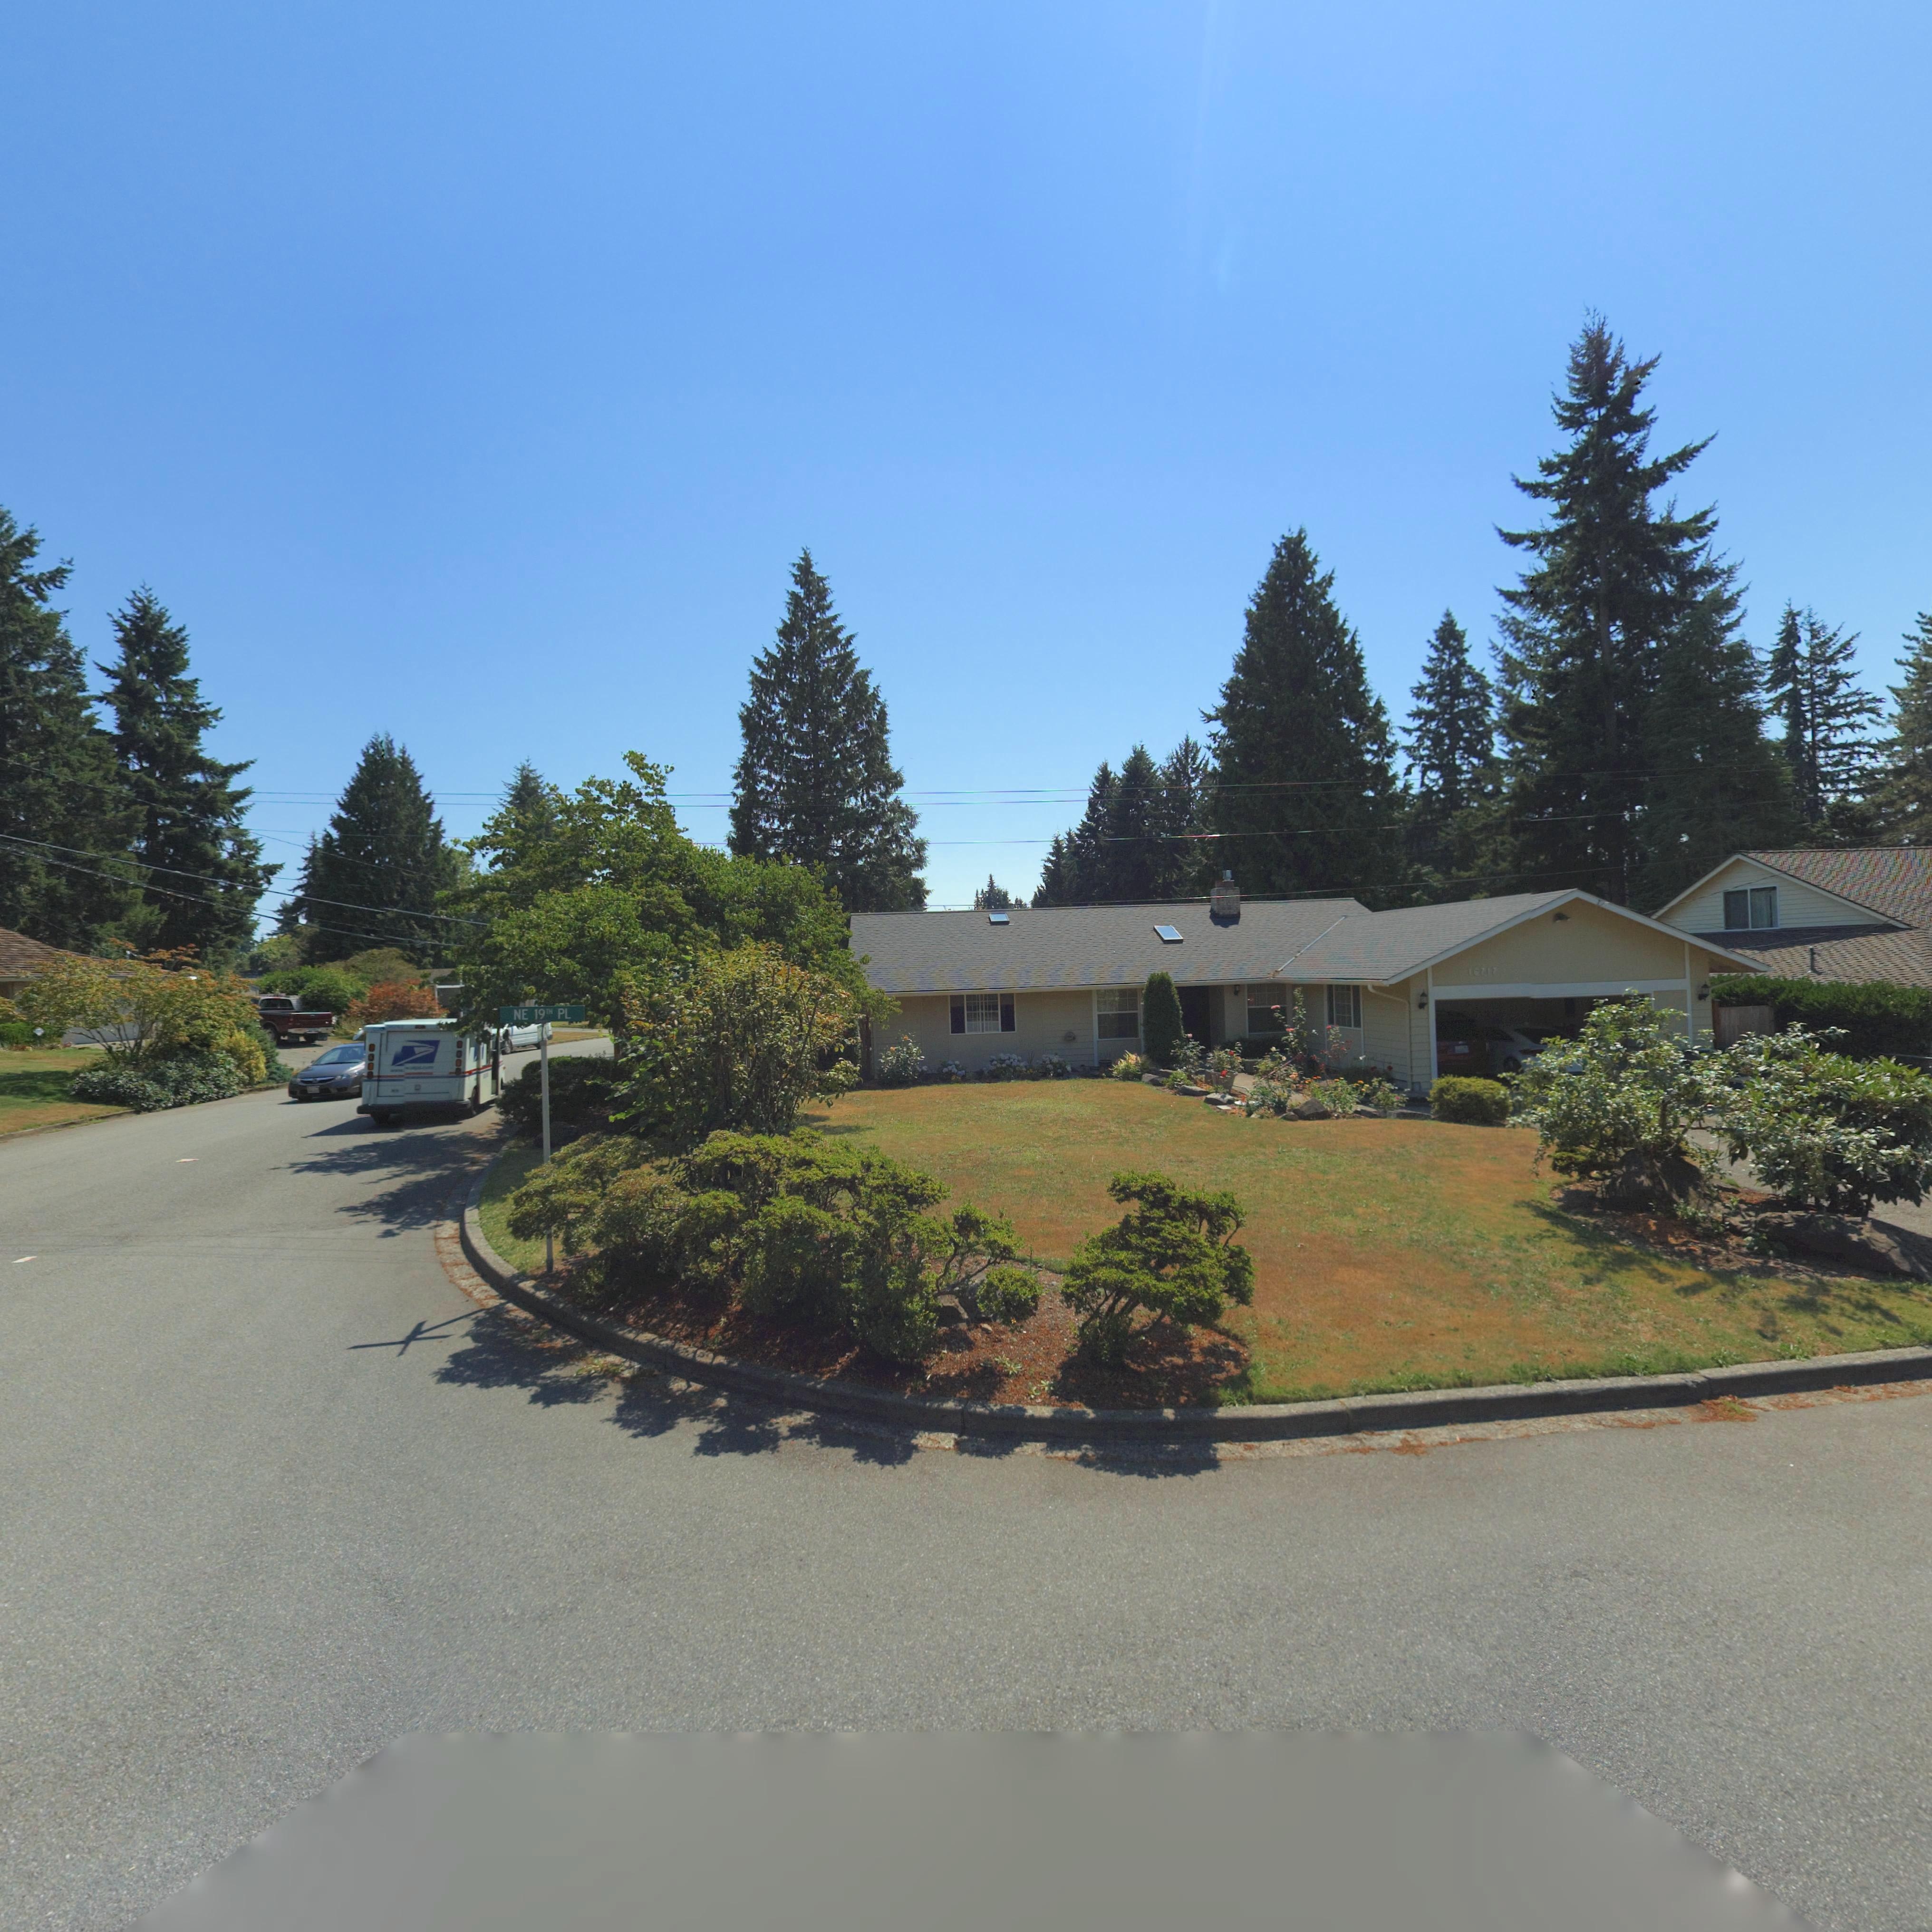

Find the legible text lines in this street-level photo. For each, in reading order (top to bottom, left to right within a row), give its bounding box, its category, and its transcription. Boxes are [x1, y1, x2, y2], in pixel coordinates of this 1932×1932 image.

[514, 1008, 570, 1020] StreetName: NE 19 PL